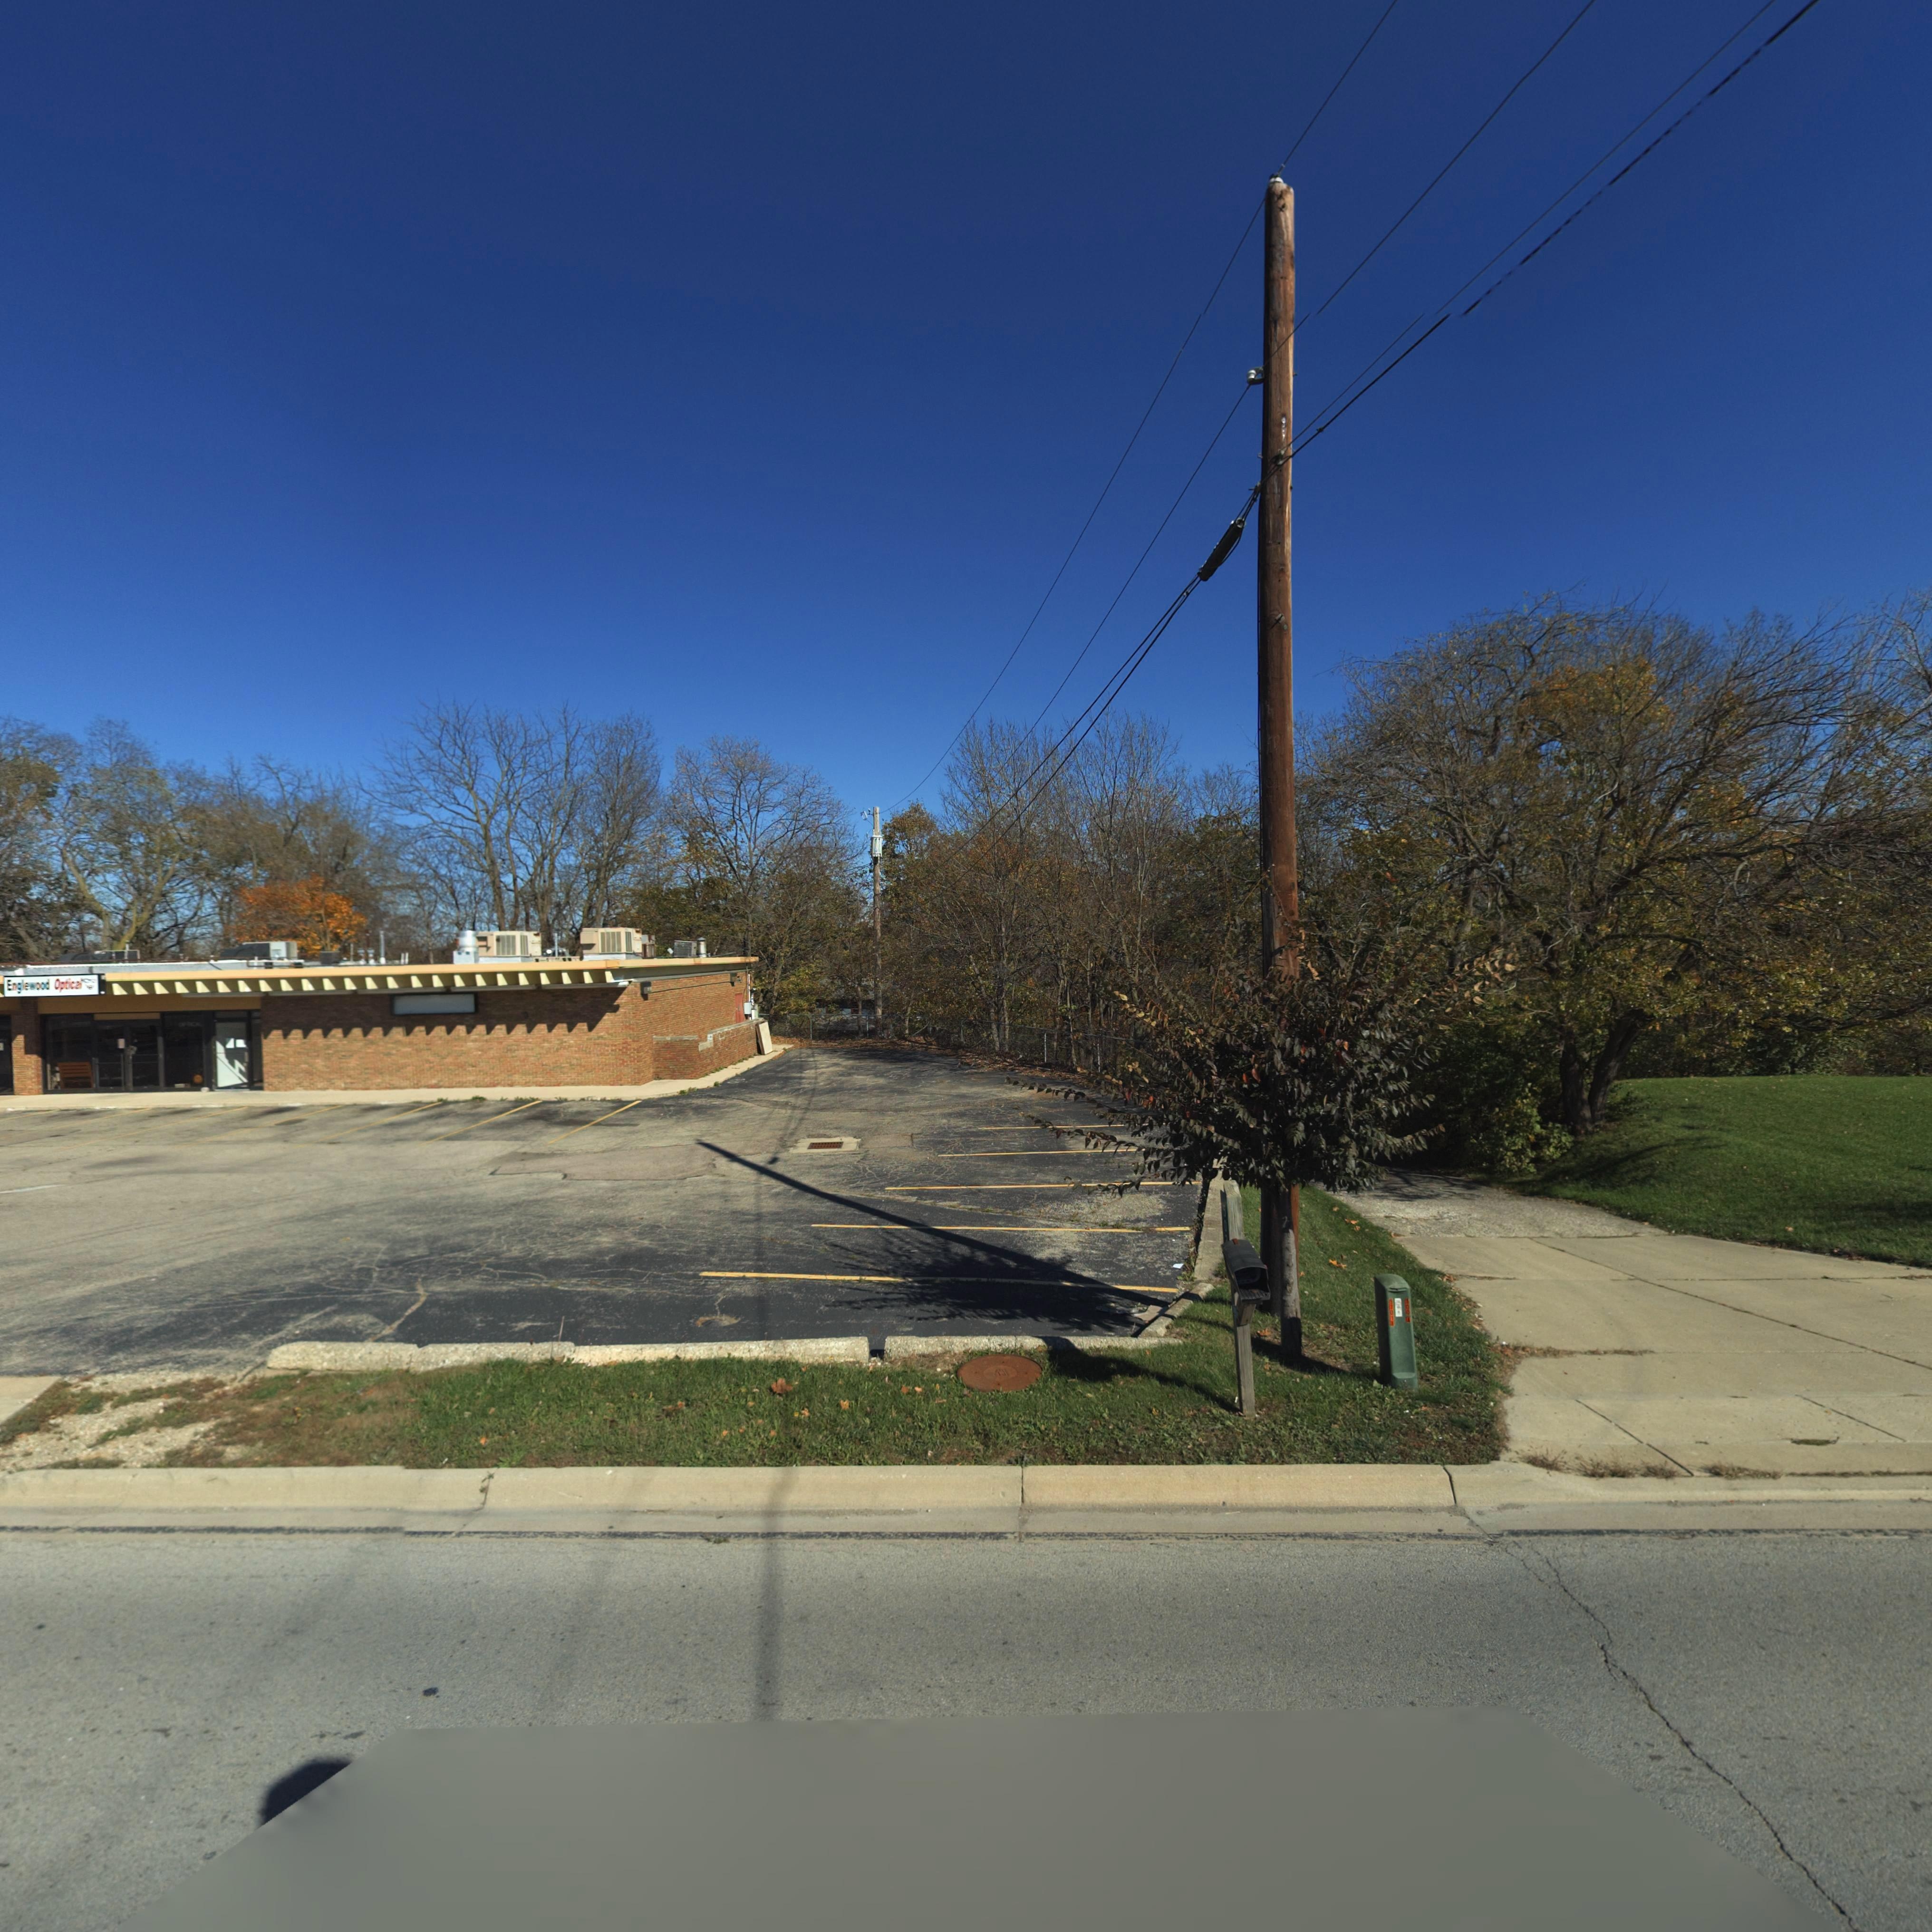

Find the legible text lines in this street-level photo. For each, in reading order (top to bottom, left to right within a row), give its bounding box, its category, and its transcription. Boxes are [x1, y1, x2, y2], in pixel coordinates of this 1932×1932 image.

[6, 977, 84, 995] BusinessName: Englewood Optical
[1222, 1203, 1229, 1235] StreetNumber: 50